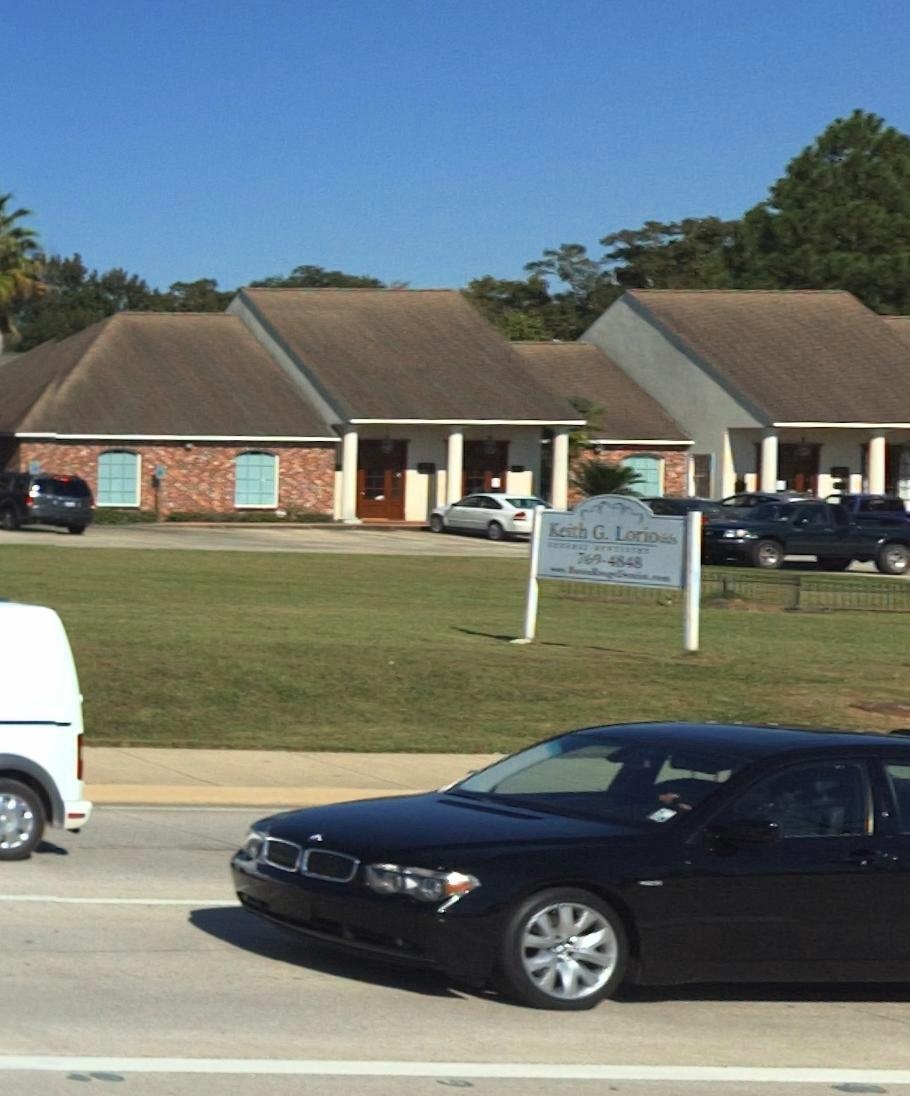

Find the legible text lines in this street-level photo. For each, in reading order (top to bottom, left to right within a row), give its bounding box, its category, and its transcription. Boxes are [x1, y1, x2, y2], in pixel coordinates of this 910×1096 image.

[547, 520, 680, 546] BusinessName: Keith G. Lorio, ***
[576, 550, 645, 570] None: 769-4848